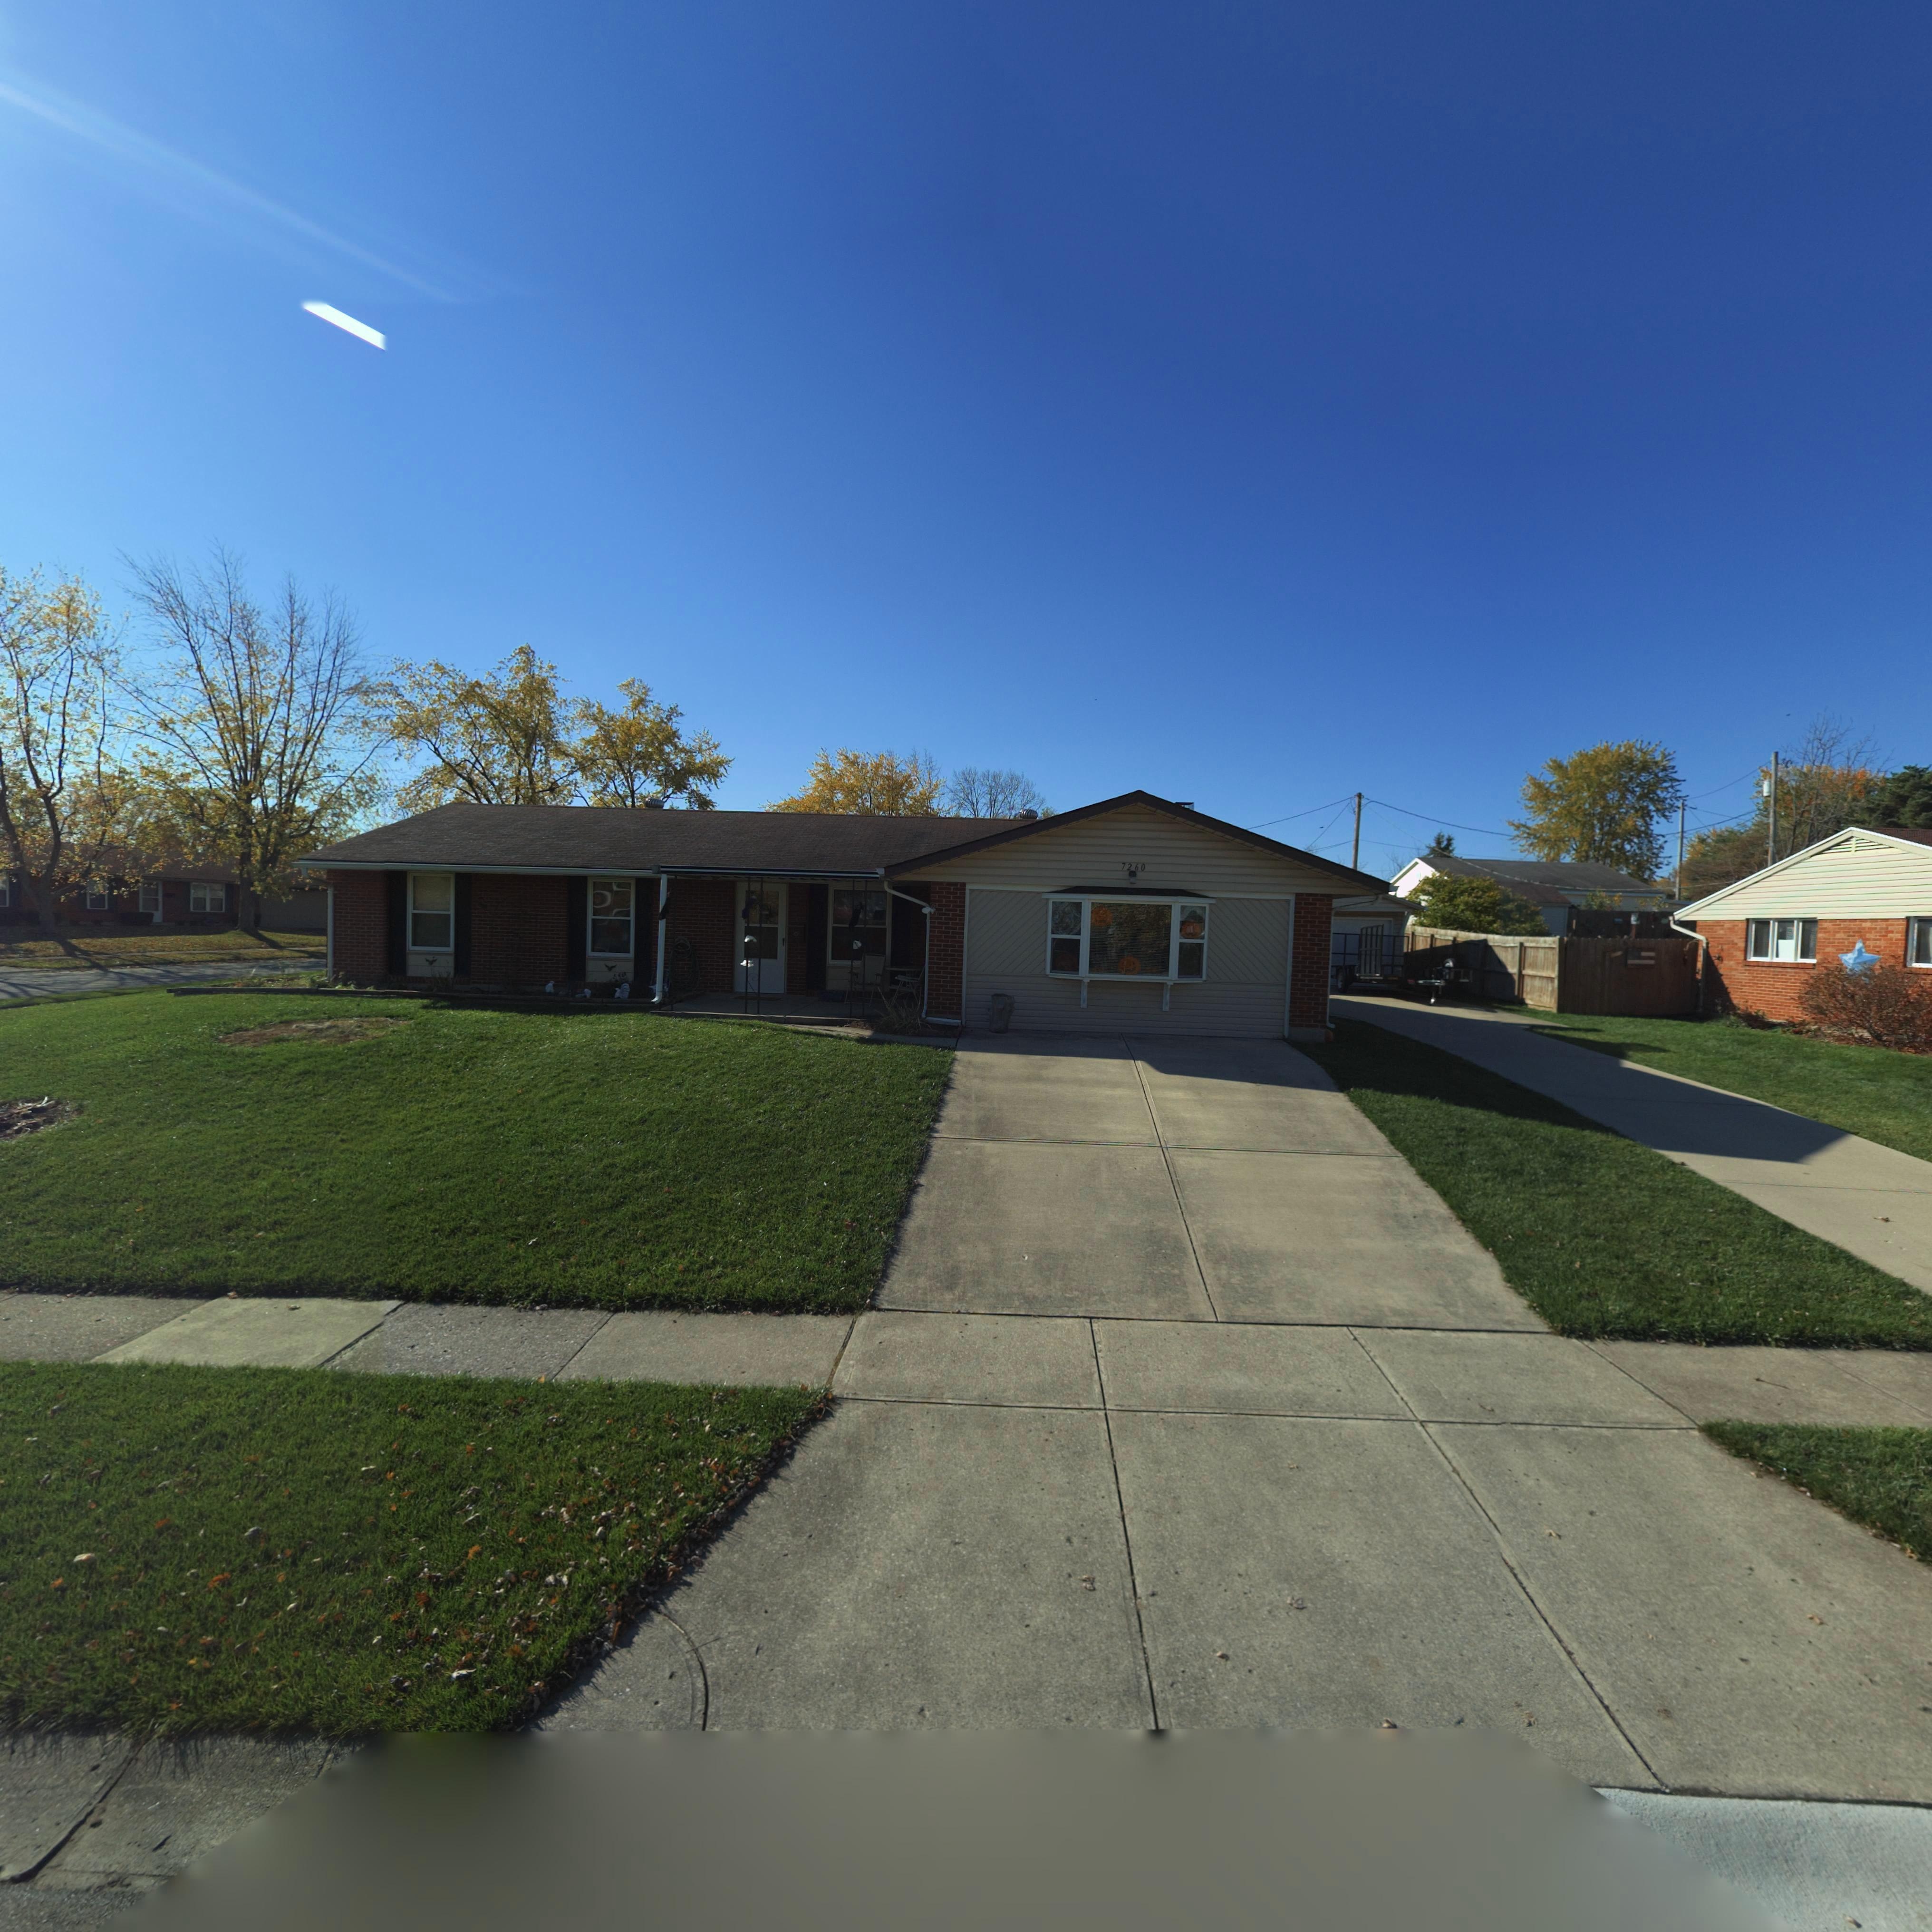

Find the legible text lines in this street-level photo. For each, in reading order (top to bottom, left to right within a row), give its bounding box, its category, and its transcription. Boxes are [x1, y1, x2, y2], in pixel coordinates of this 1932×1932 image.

[1121, 862, 1146, 872] StreetNumber: 7260